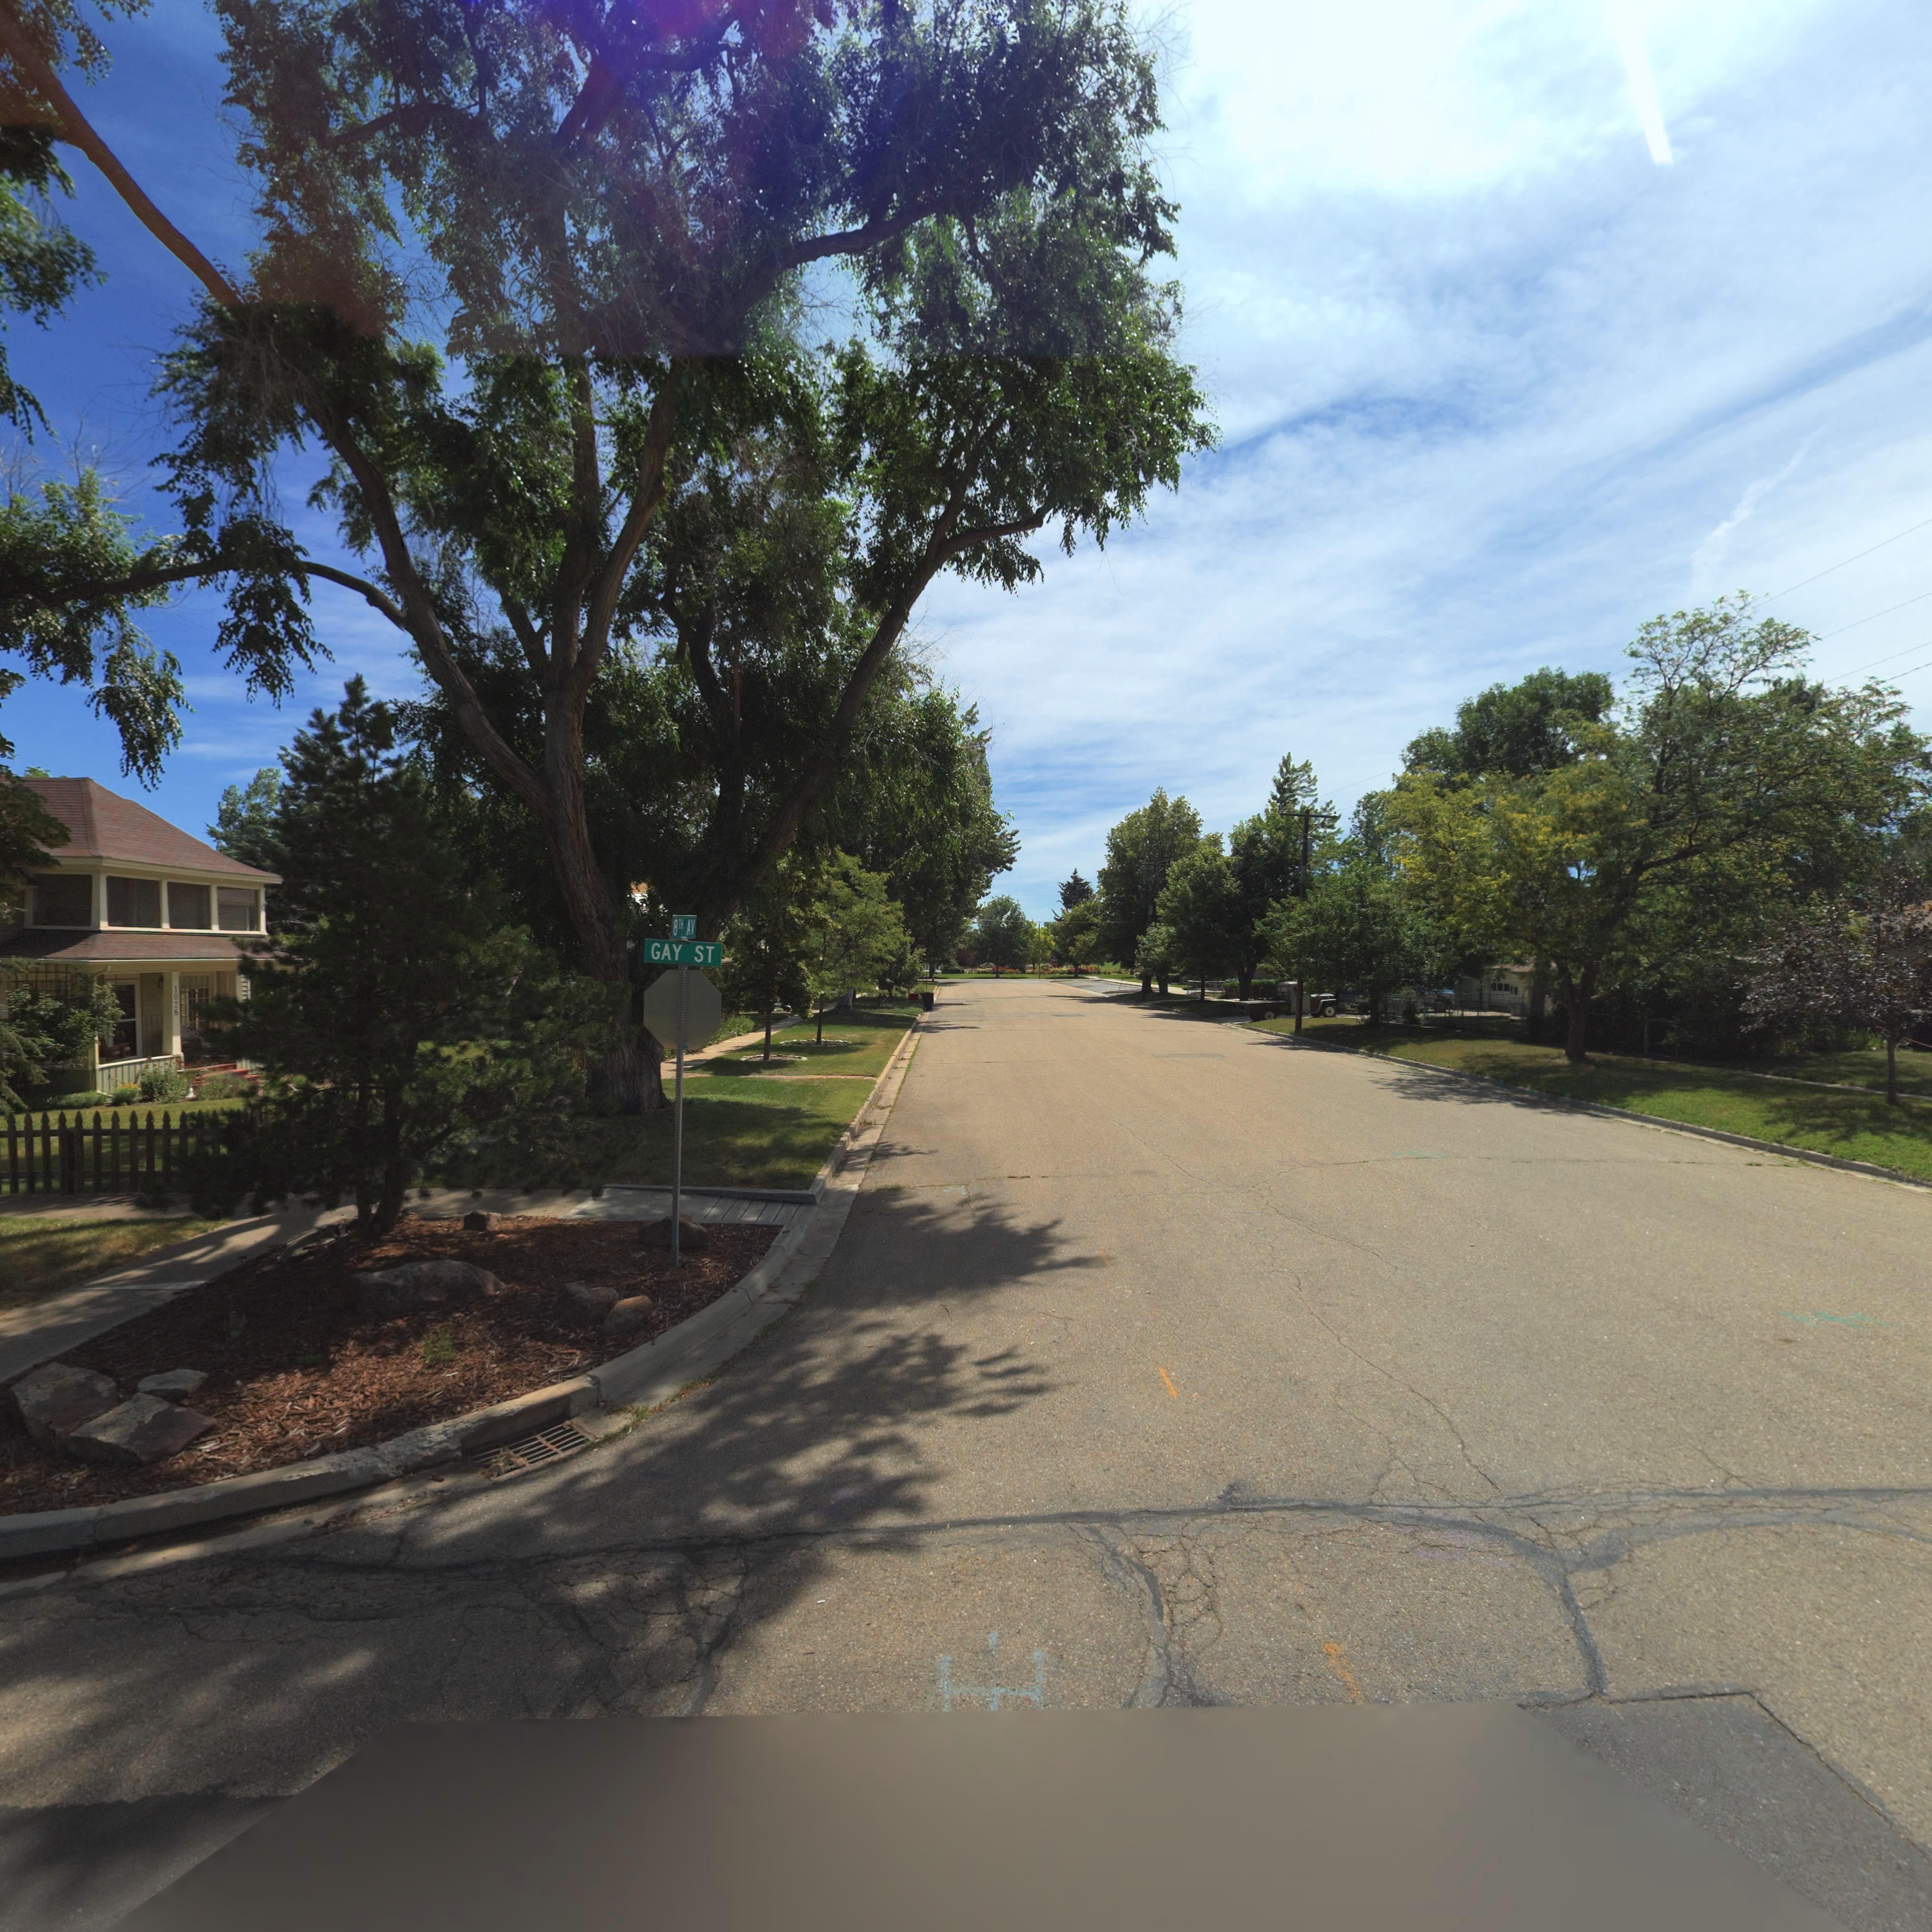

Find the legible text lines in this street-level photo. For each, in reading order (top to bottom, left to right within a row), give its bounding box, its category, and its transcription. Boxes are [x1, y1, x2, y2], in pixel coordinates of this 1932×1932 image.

[672, 918, 696, 937] StreetName: 8TH AV
[649, 941, 716, 963] StreetNumber: GAY ST
[173, 985, 179, 1016] StreetNumber: 1026